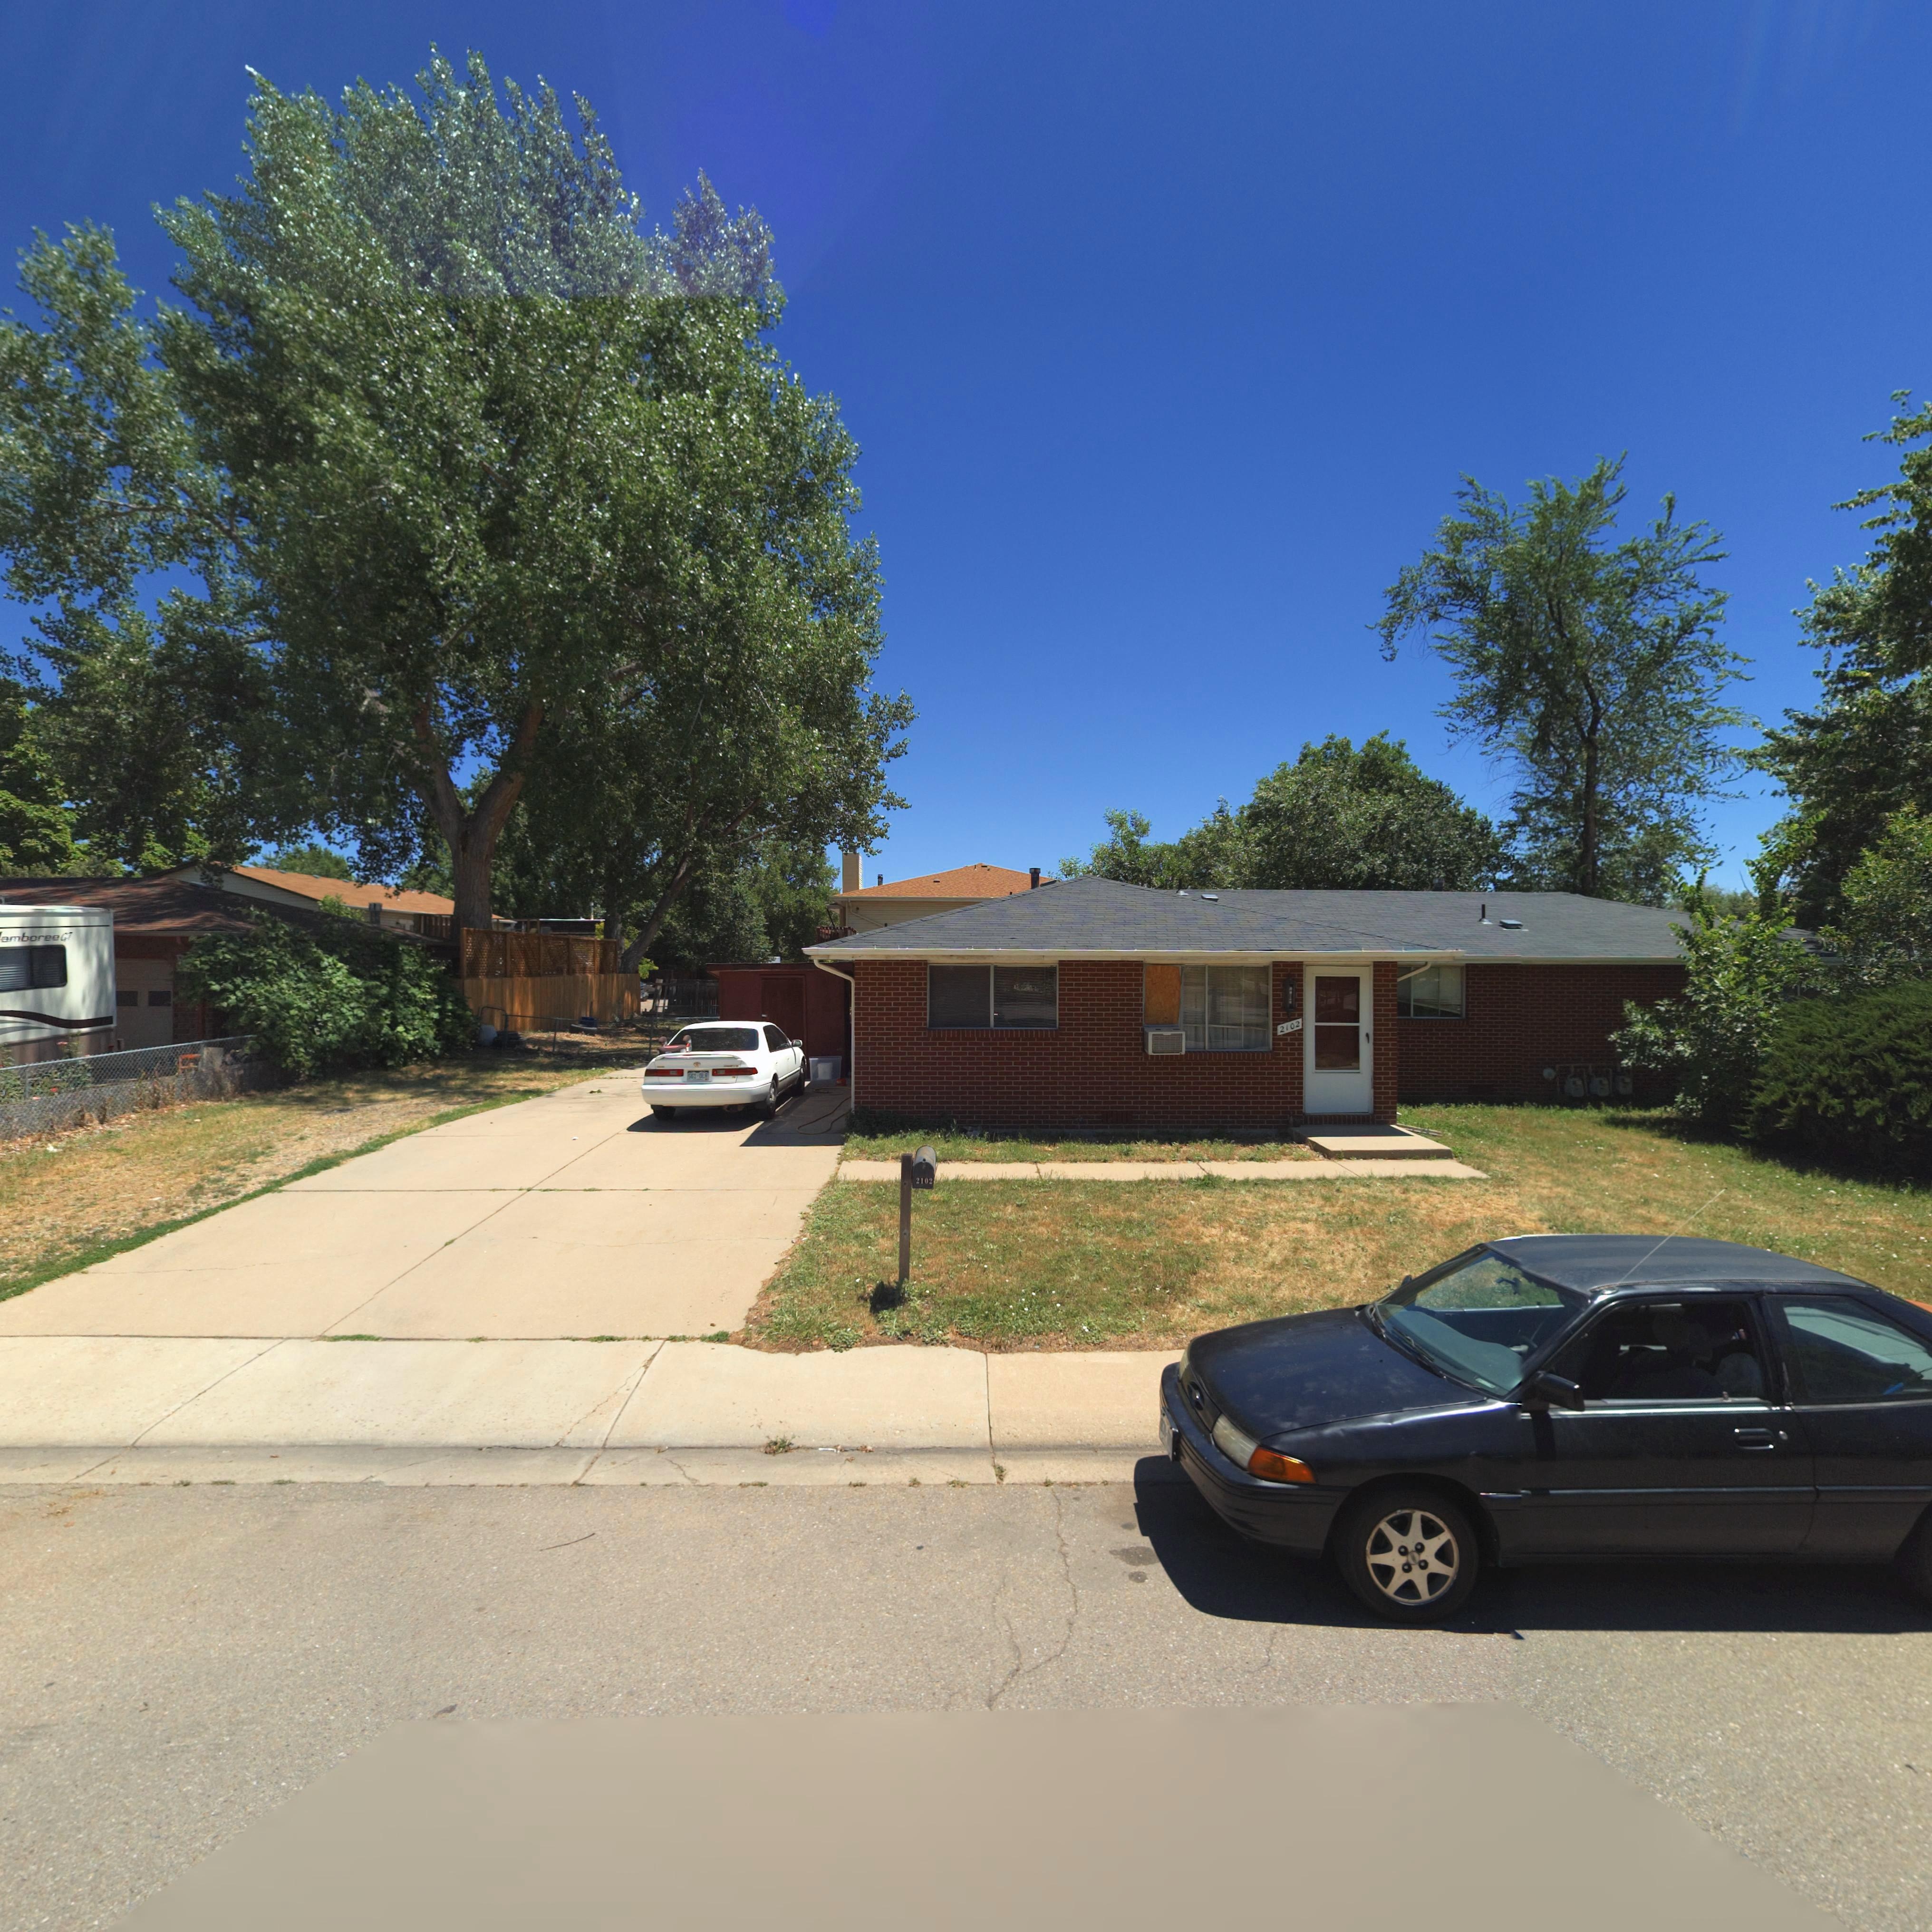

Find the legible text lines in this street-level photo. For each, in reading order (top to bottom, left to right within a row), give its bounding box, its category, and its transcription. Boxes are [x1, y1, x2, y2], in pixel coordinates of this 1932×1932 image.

[1278, 1019, 1301, 1035] StreetNumber: 2102
[915, 1177, 933, 1185] StreetNumber: 2102